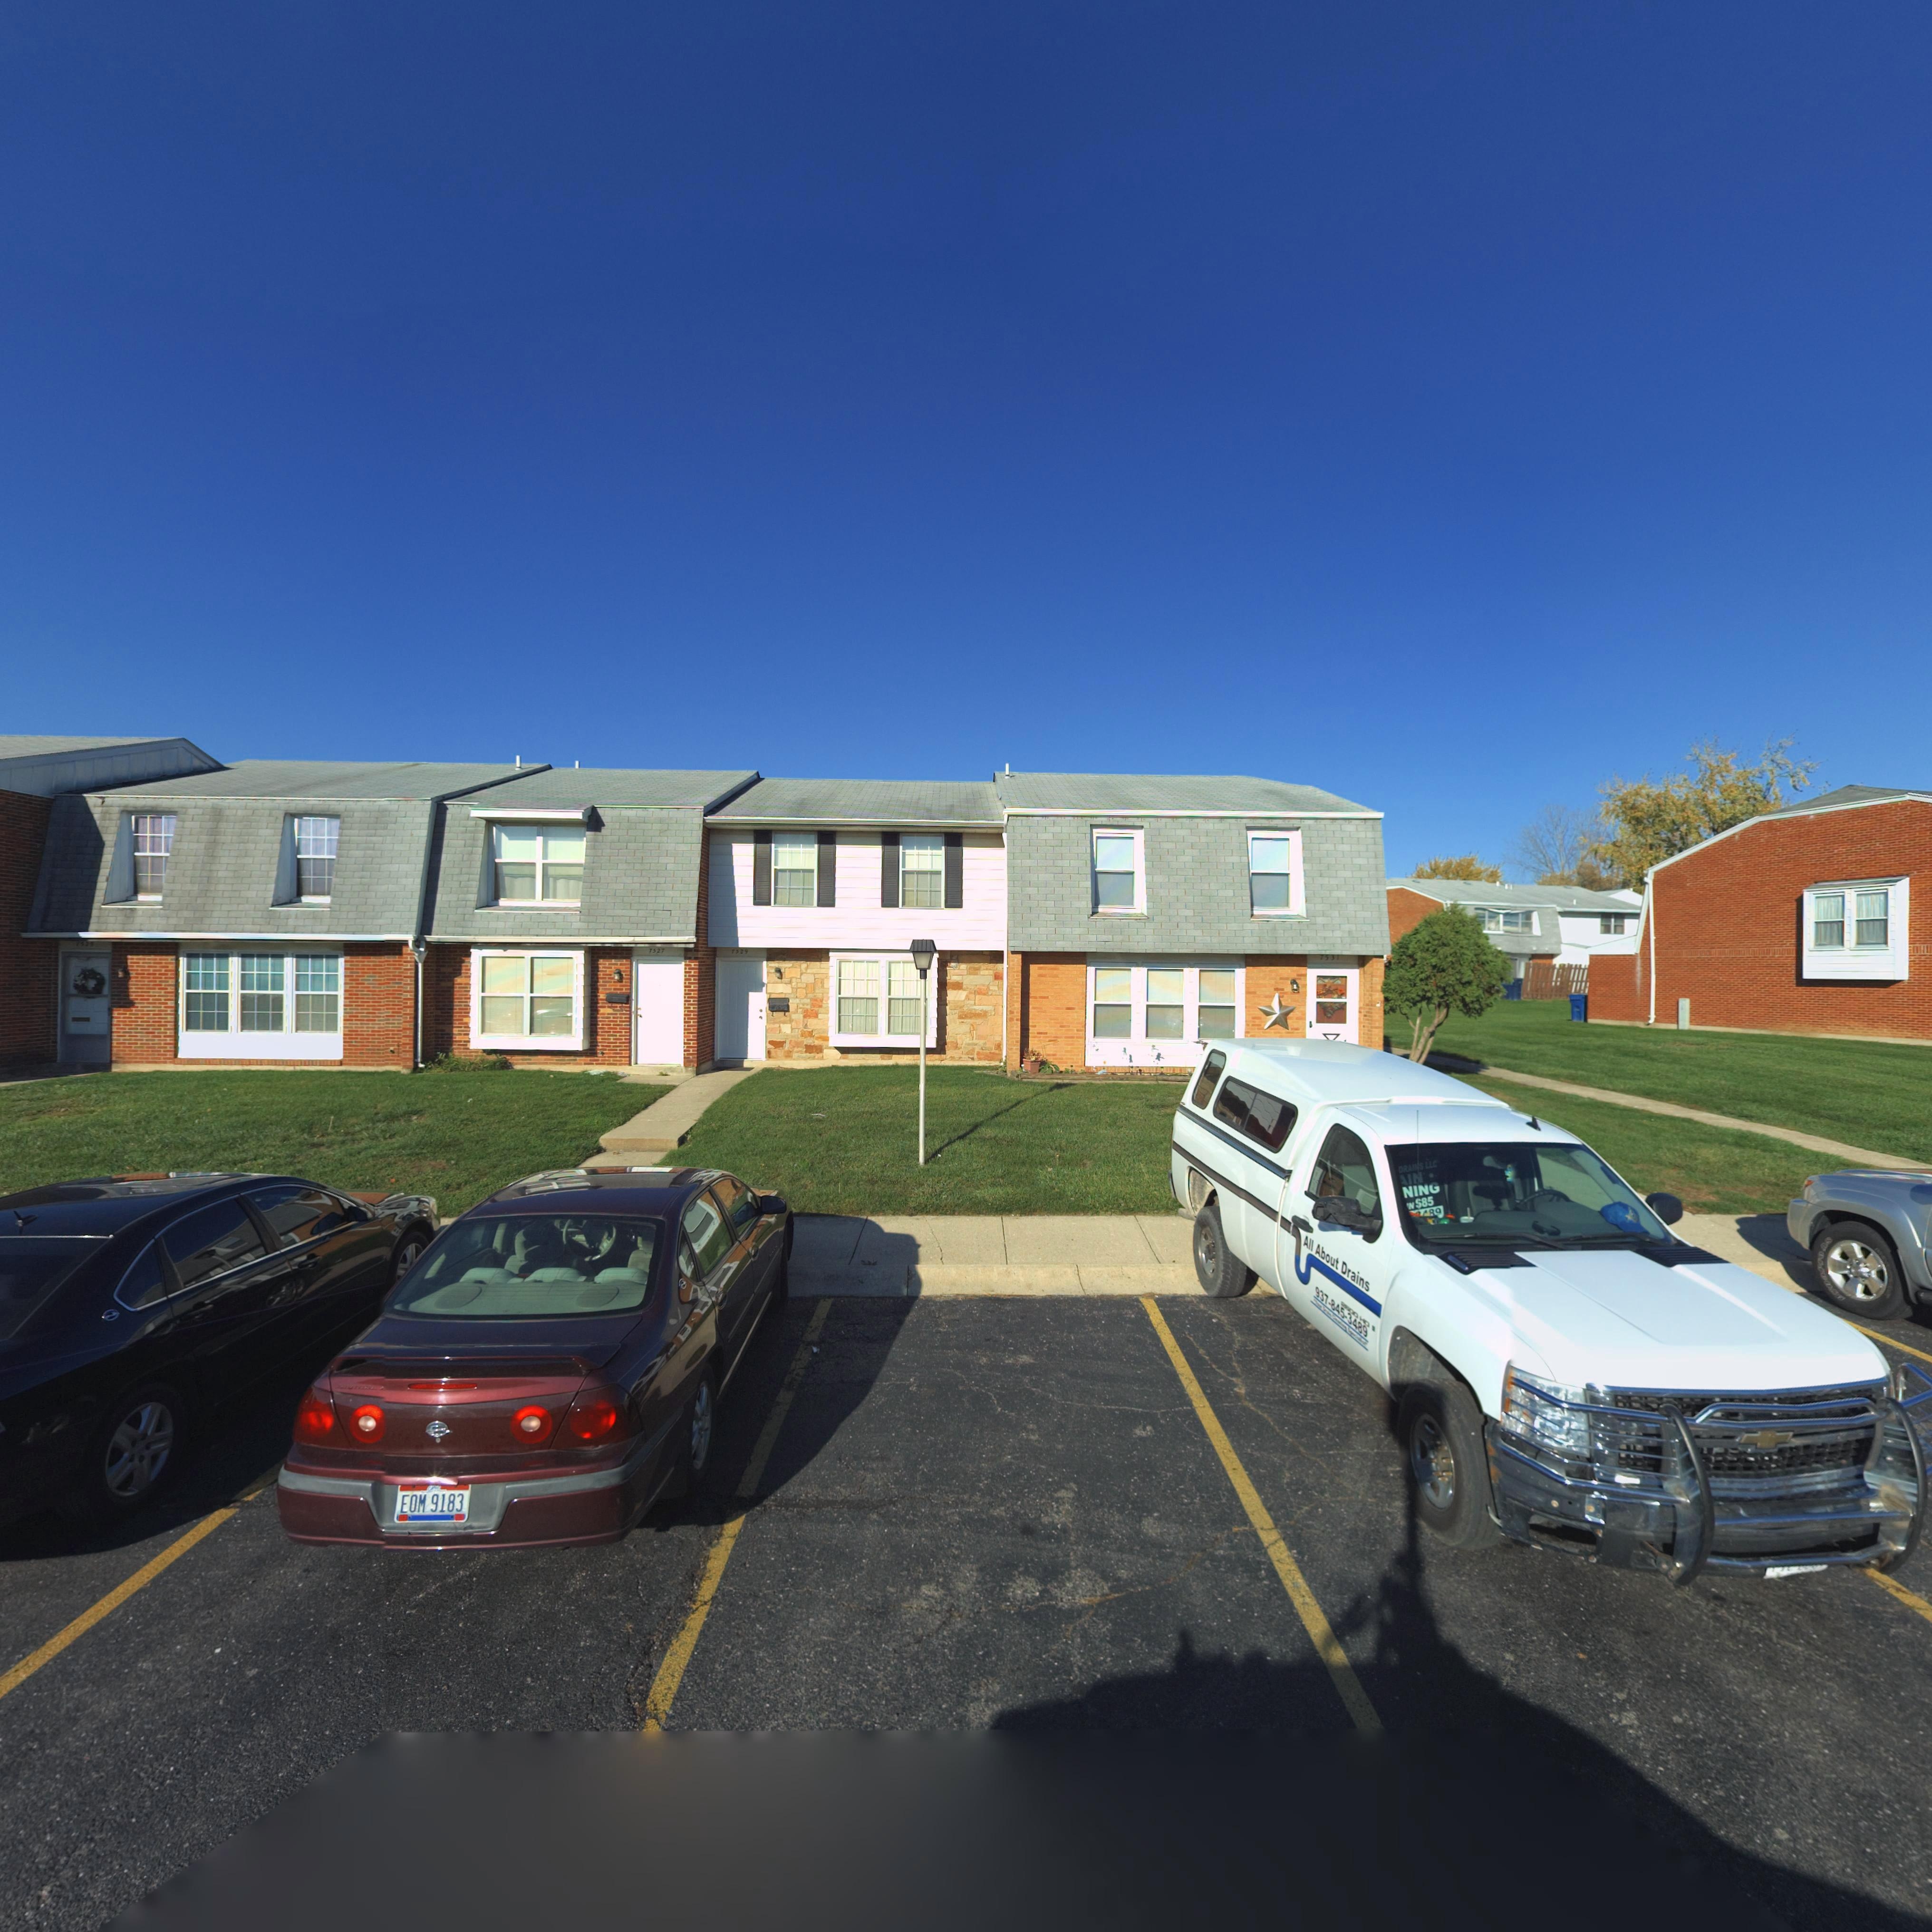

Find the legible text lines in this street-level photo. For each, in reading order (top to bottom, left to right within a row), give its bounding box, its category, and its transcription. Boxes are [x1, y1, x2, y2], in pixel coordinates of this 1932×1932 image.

[75, 941, 94, 947] StreetNumber: 7525
[648, 947, 665, 953] StreetNumber: 7527
[731, 948, 748, 954] StreetNumber: 7529
[1320, 954, 1339, 960] StreetNumber: 7531